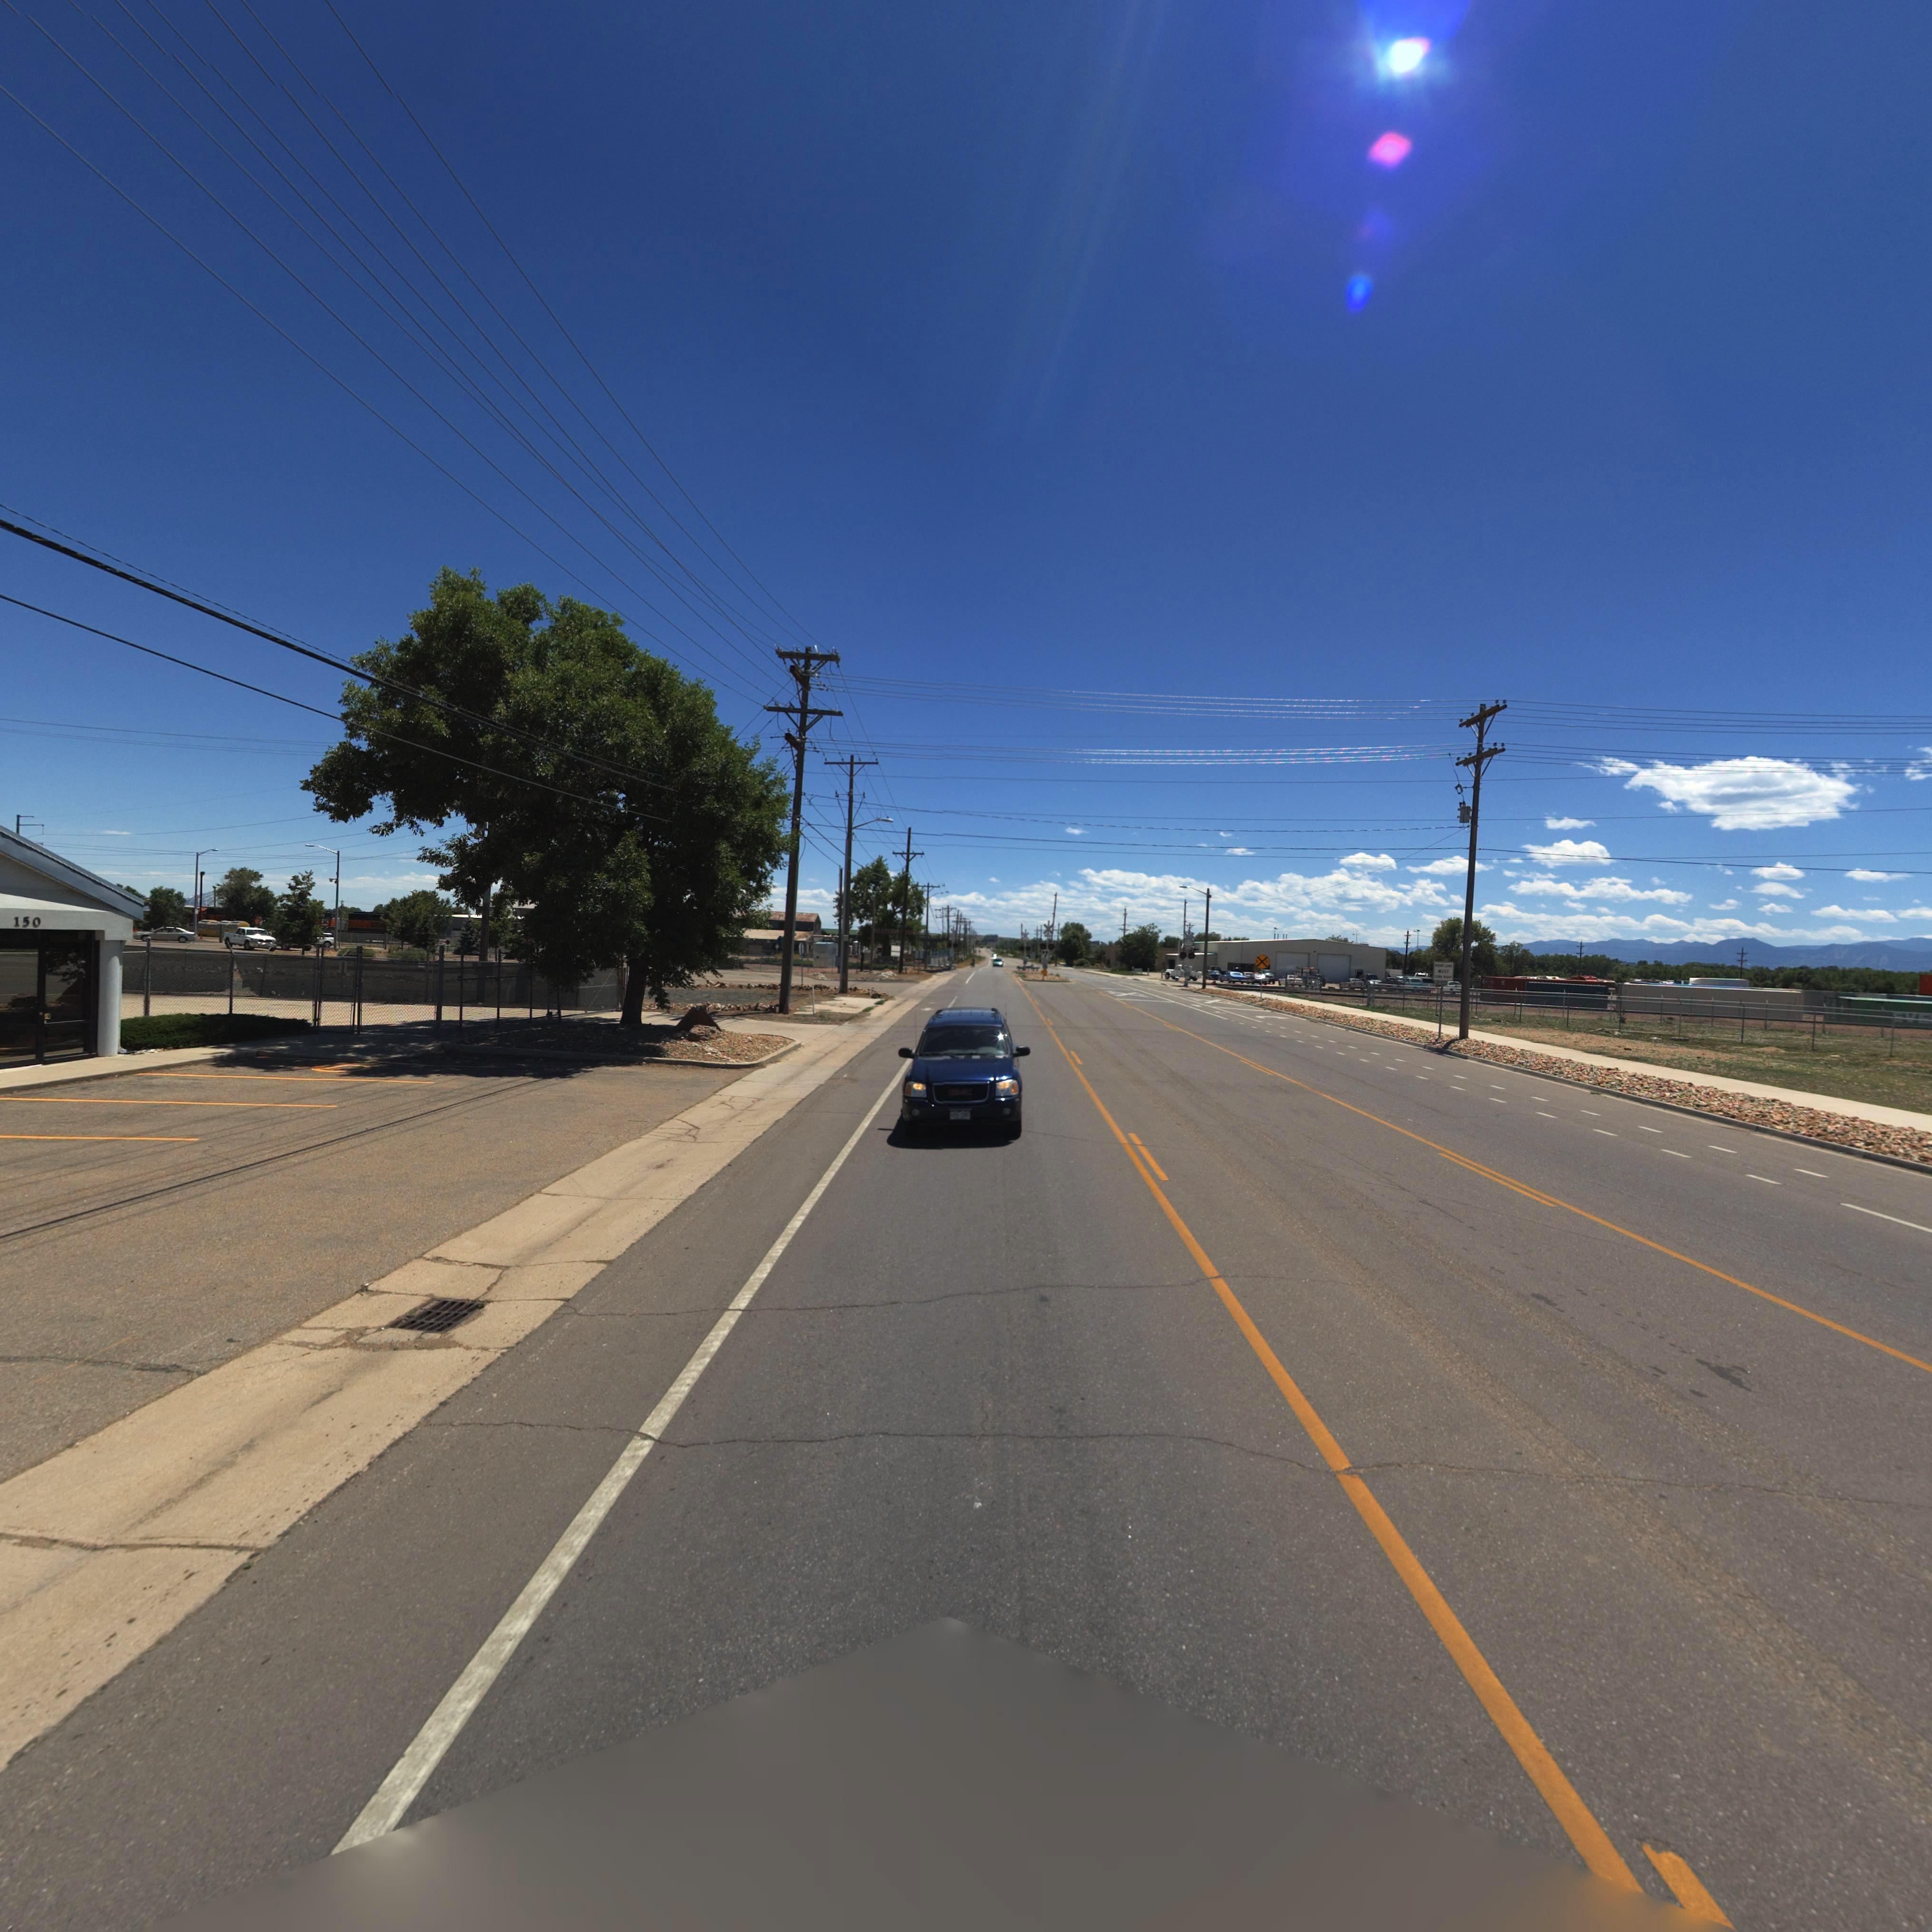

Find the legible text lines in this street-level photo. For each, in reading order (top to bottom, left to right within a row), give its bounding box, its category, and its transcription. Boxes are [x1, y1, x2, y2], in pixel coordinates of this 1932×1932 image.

[13, 916, 41, 928] StreetNumber: 150
[873, 927, 930, 936] BusinessName: *EST*** **U******